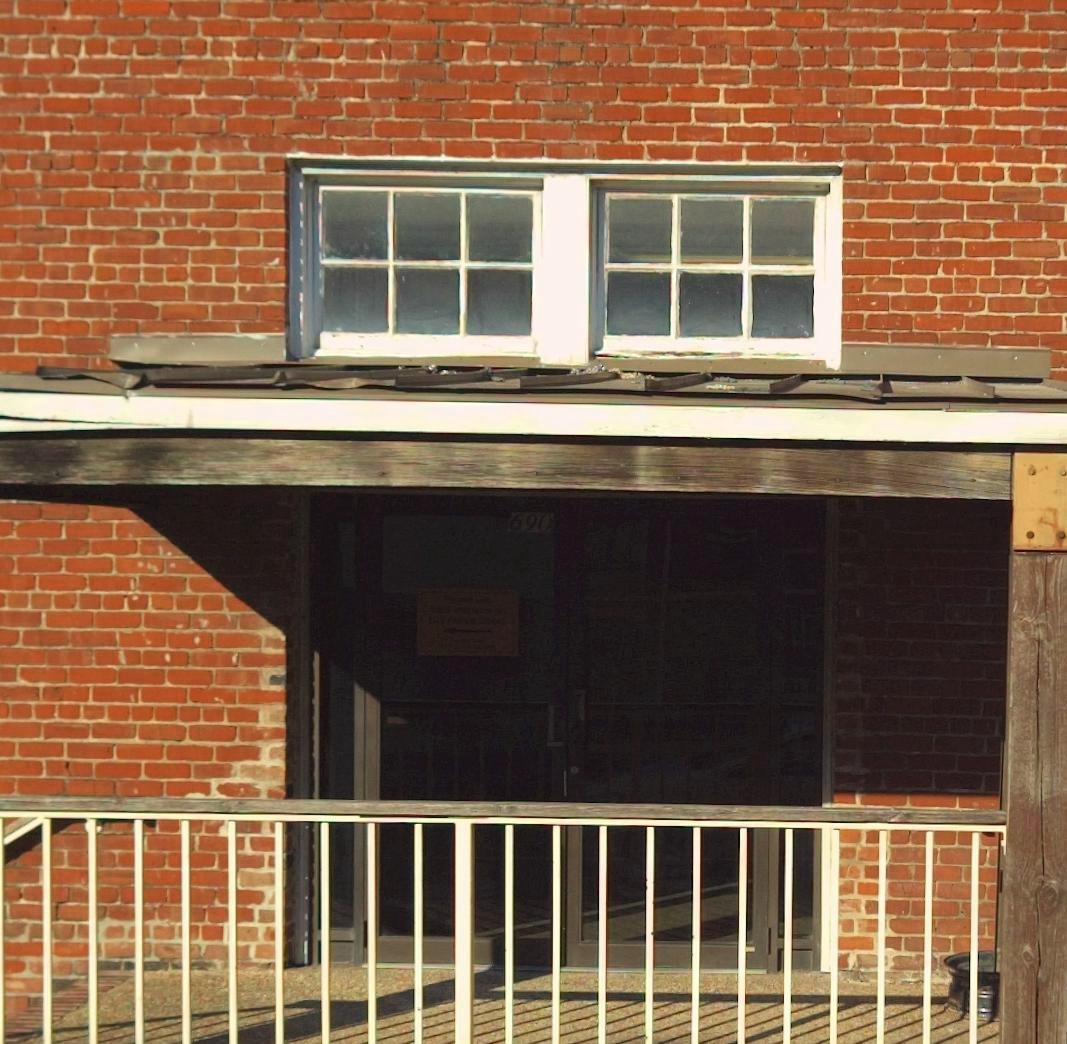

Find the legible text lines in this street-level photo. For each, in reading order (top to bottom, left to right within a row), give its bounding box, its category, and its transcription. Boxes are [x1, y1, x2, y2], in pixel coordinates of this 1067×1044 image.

[504, 511, 557, 535] StreetNumber: 690